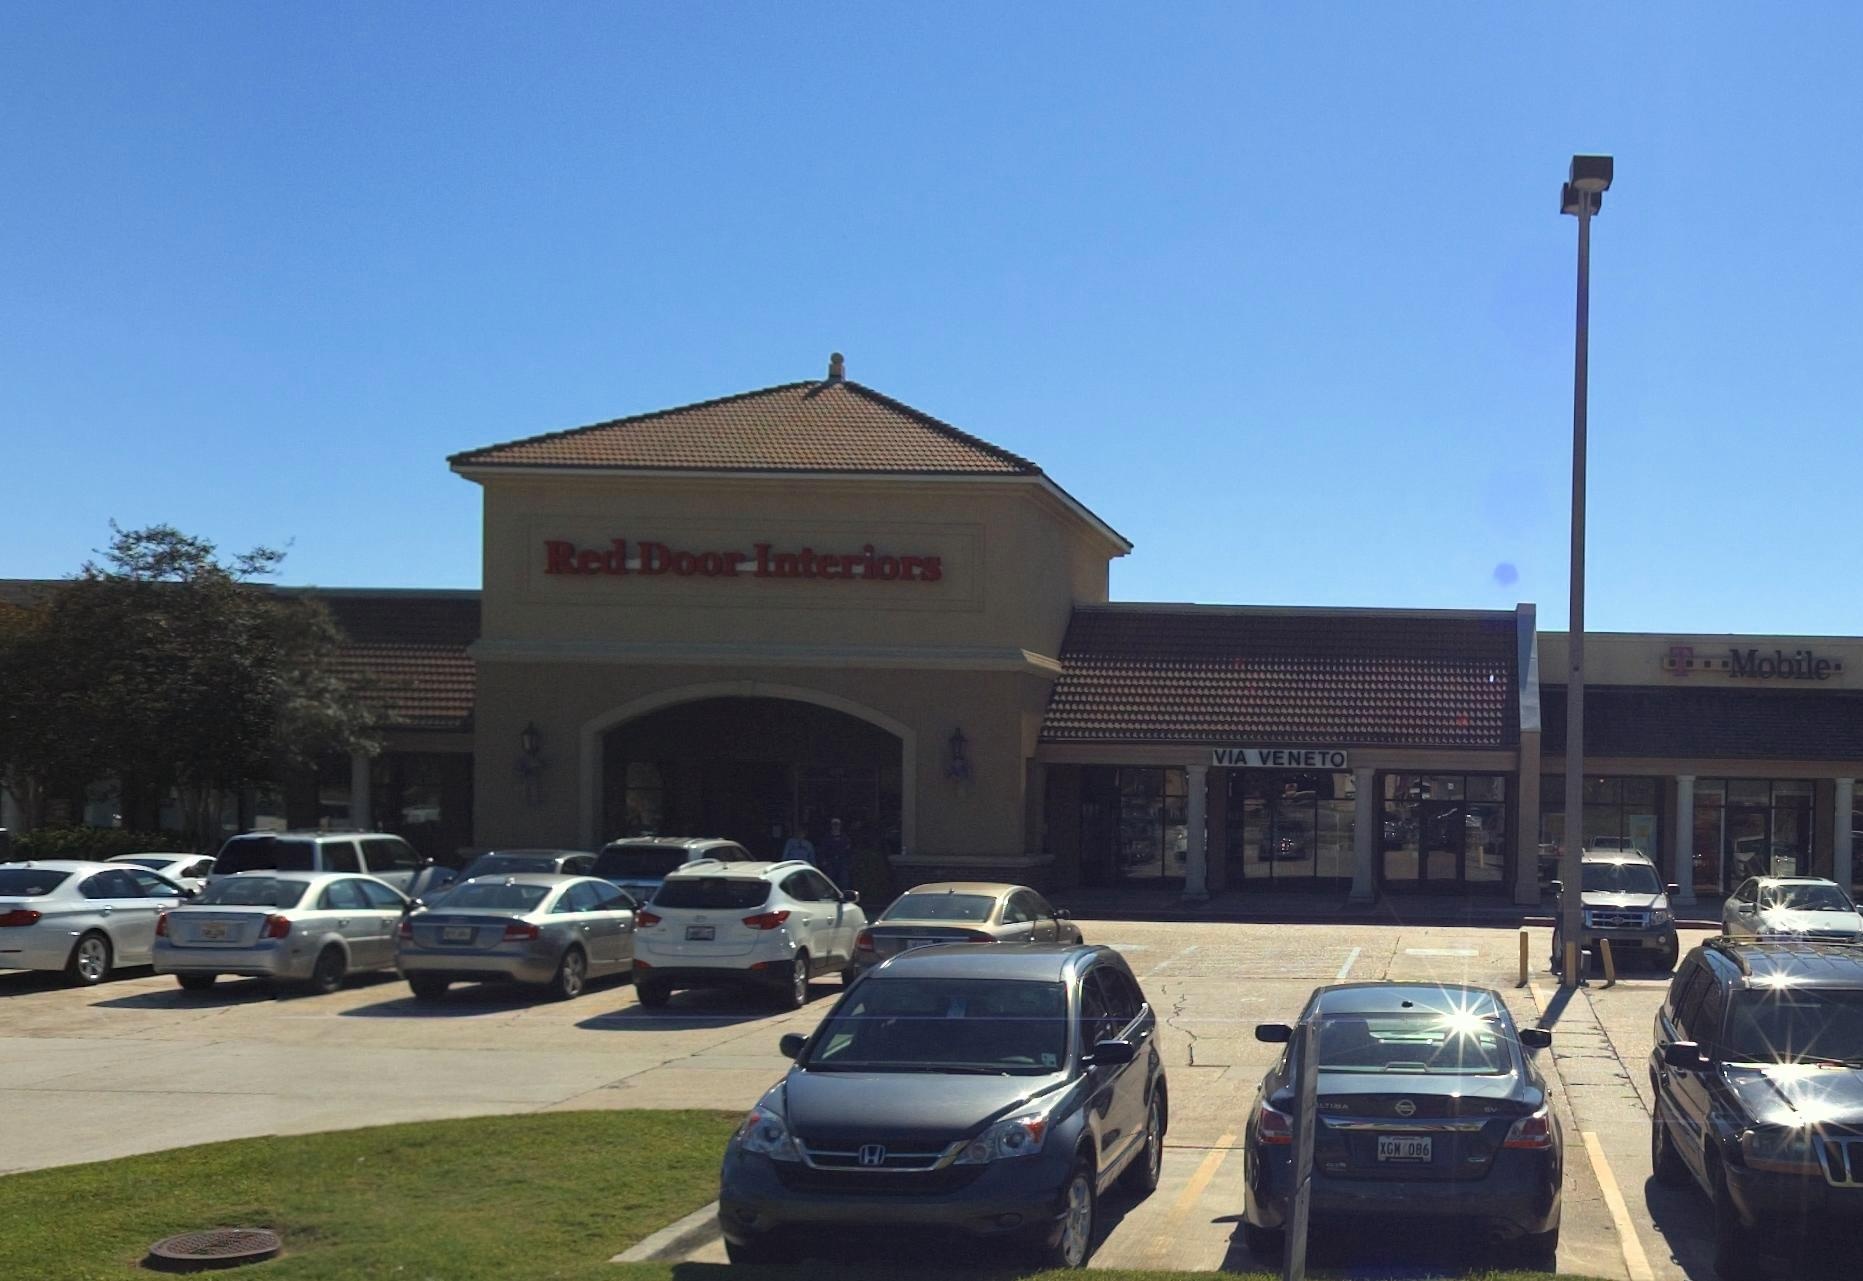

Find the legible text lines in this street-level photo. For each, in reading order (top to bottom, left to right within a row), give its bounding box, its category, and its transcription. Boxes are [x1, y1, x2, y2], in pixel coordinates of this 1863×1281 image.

[543, 539, 945, 583] BusinessName: Red Door Interiors
[1668, 645, 1832, 681] None: T Mobile
[1213, 748, 1346, 768] BusinessName: VIA VENETO
[1318, 1102, 1351, 1110] None: LTIMA
[863, 1146, 882, 1165] None: H
[1379, 1141, 1430, 1157] None: XGN 086